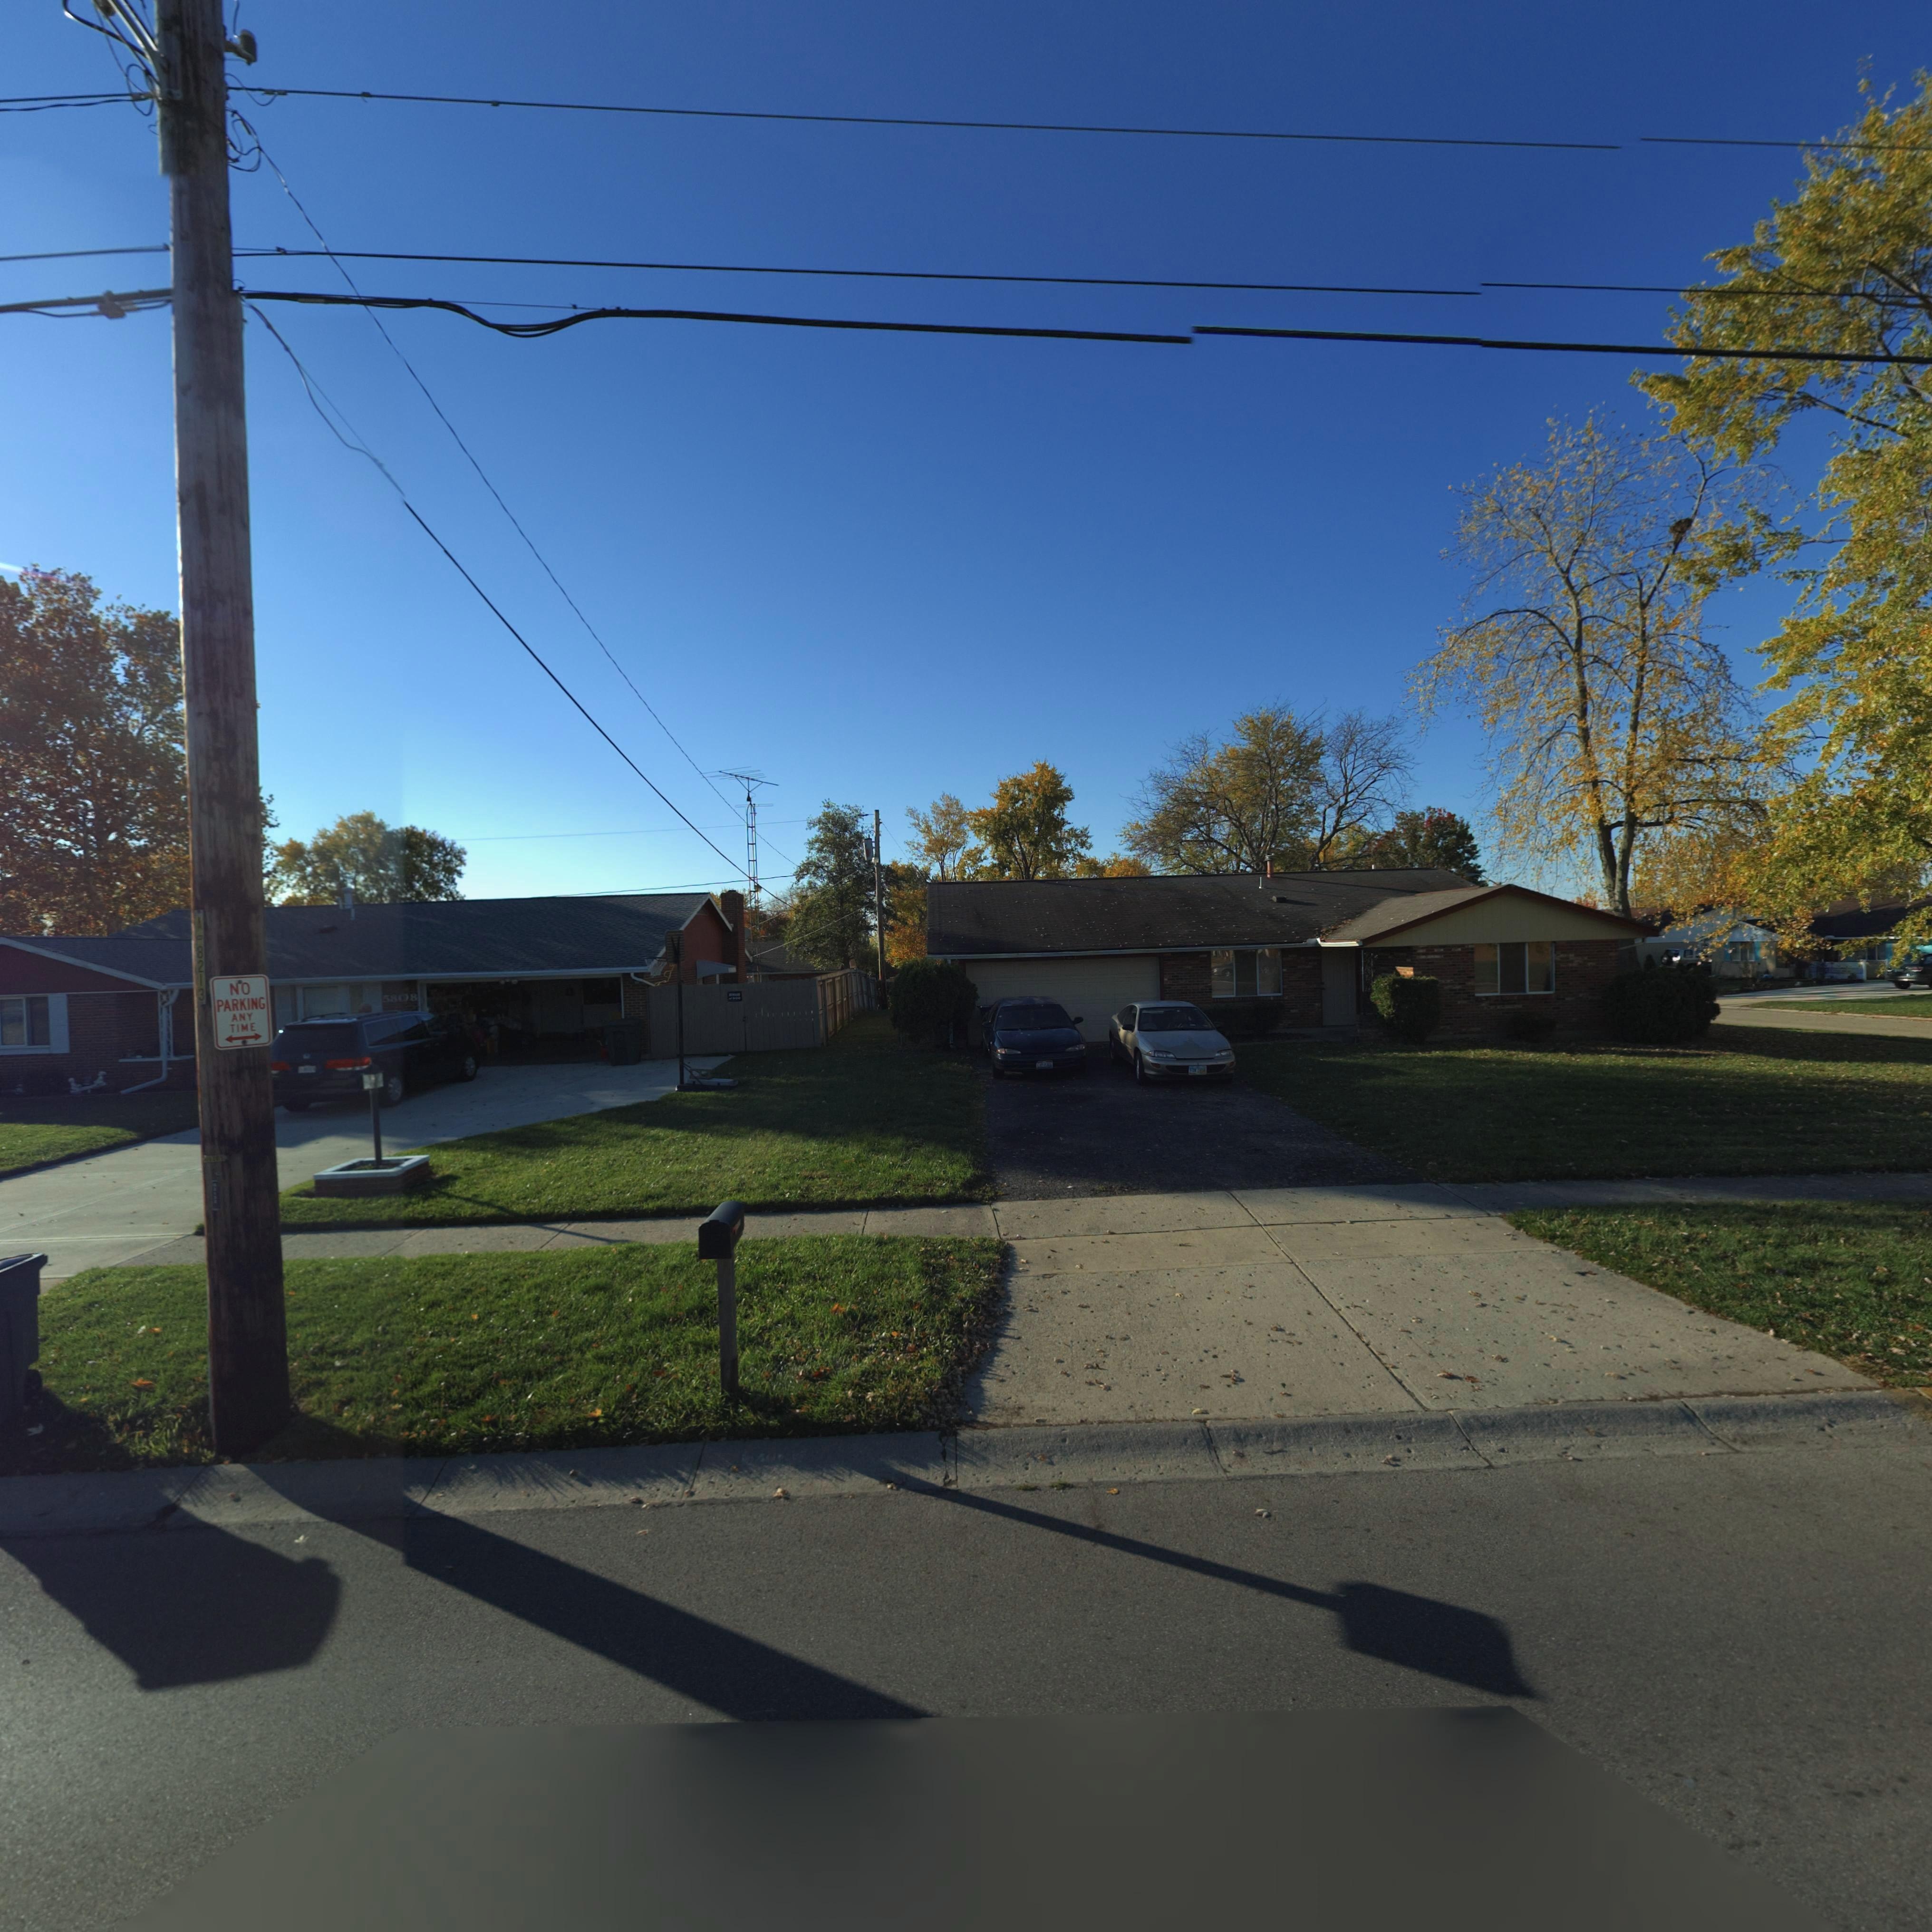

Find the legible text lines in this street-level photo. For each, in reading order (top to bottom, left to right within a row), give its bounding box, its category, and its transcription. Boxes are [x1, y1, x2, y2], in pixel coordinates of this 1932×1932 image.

[382, 992, 419, 1005] StreetNumber: 58*8